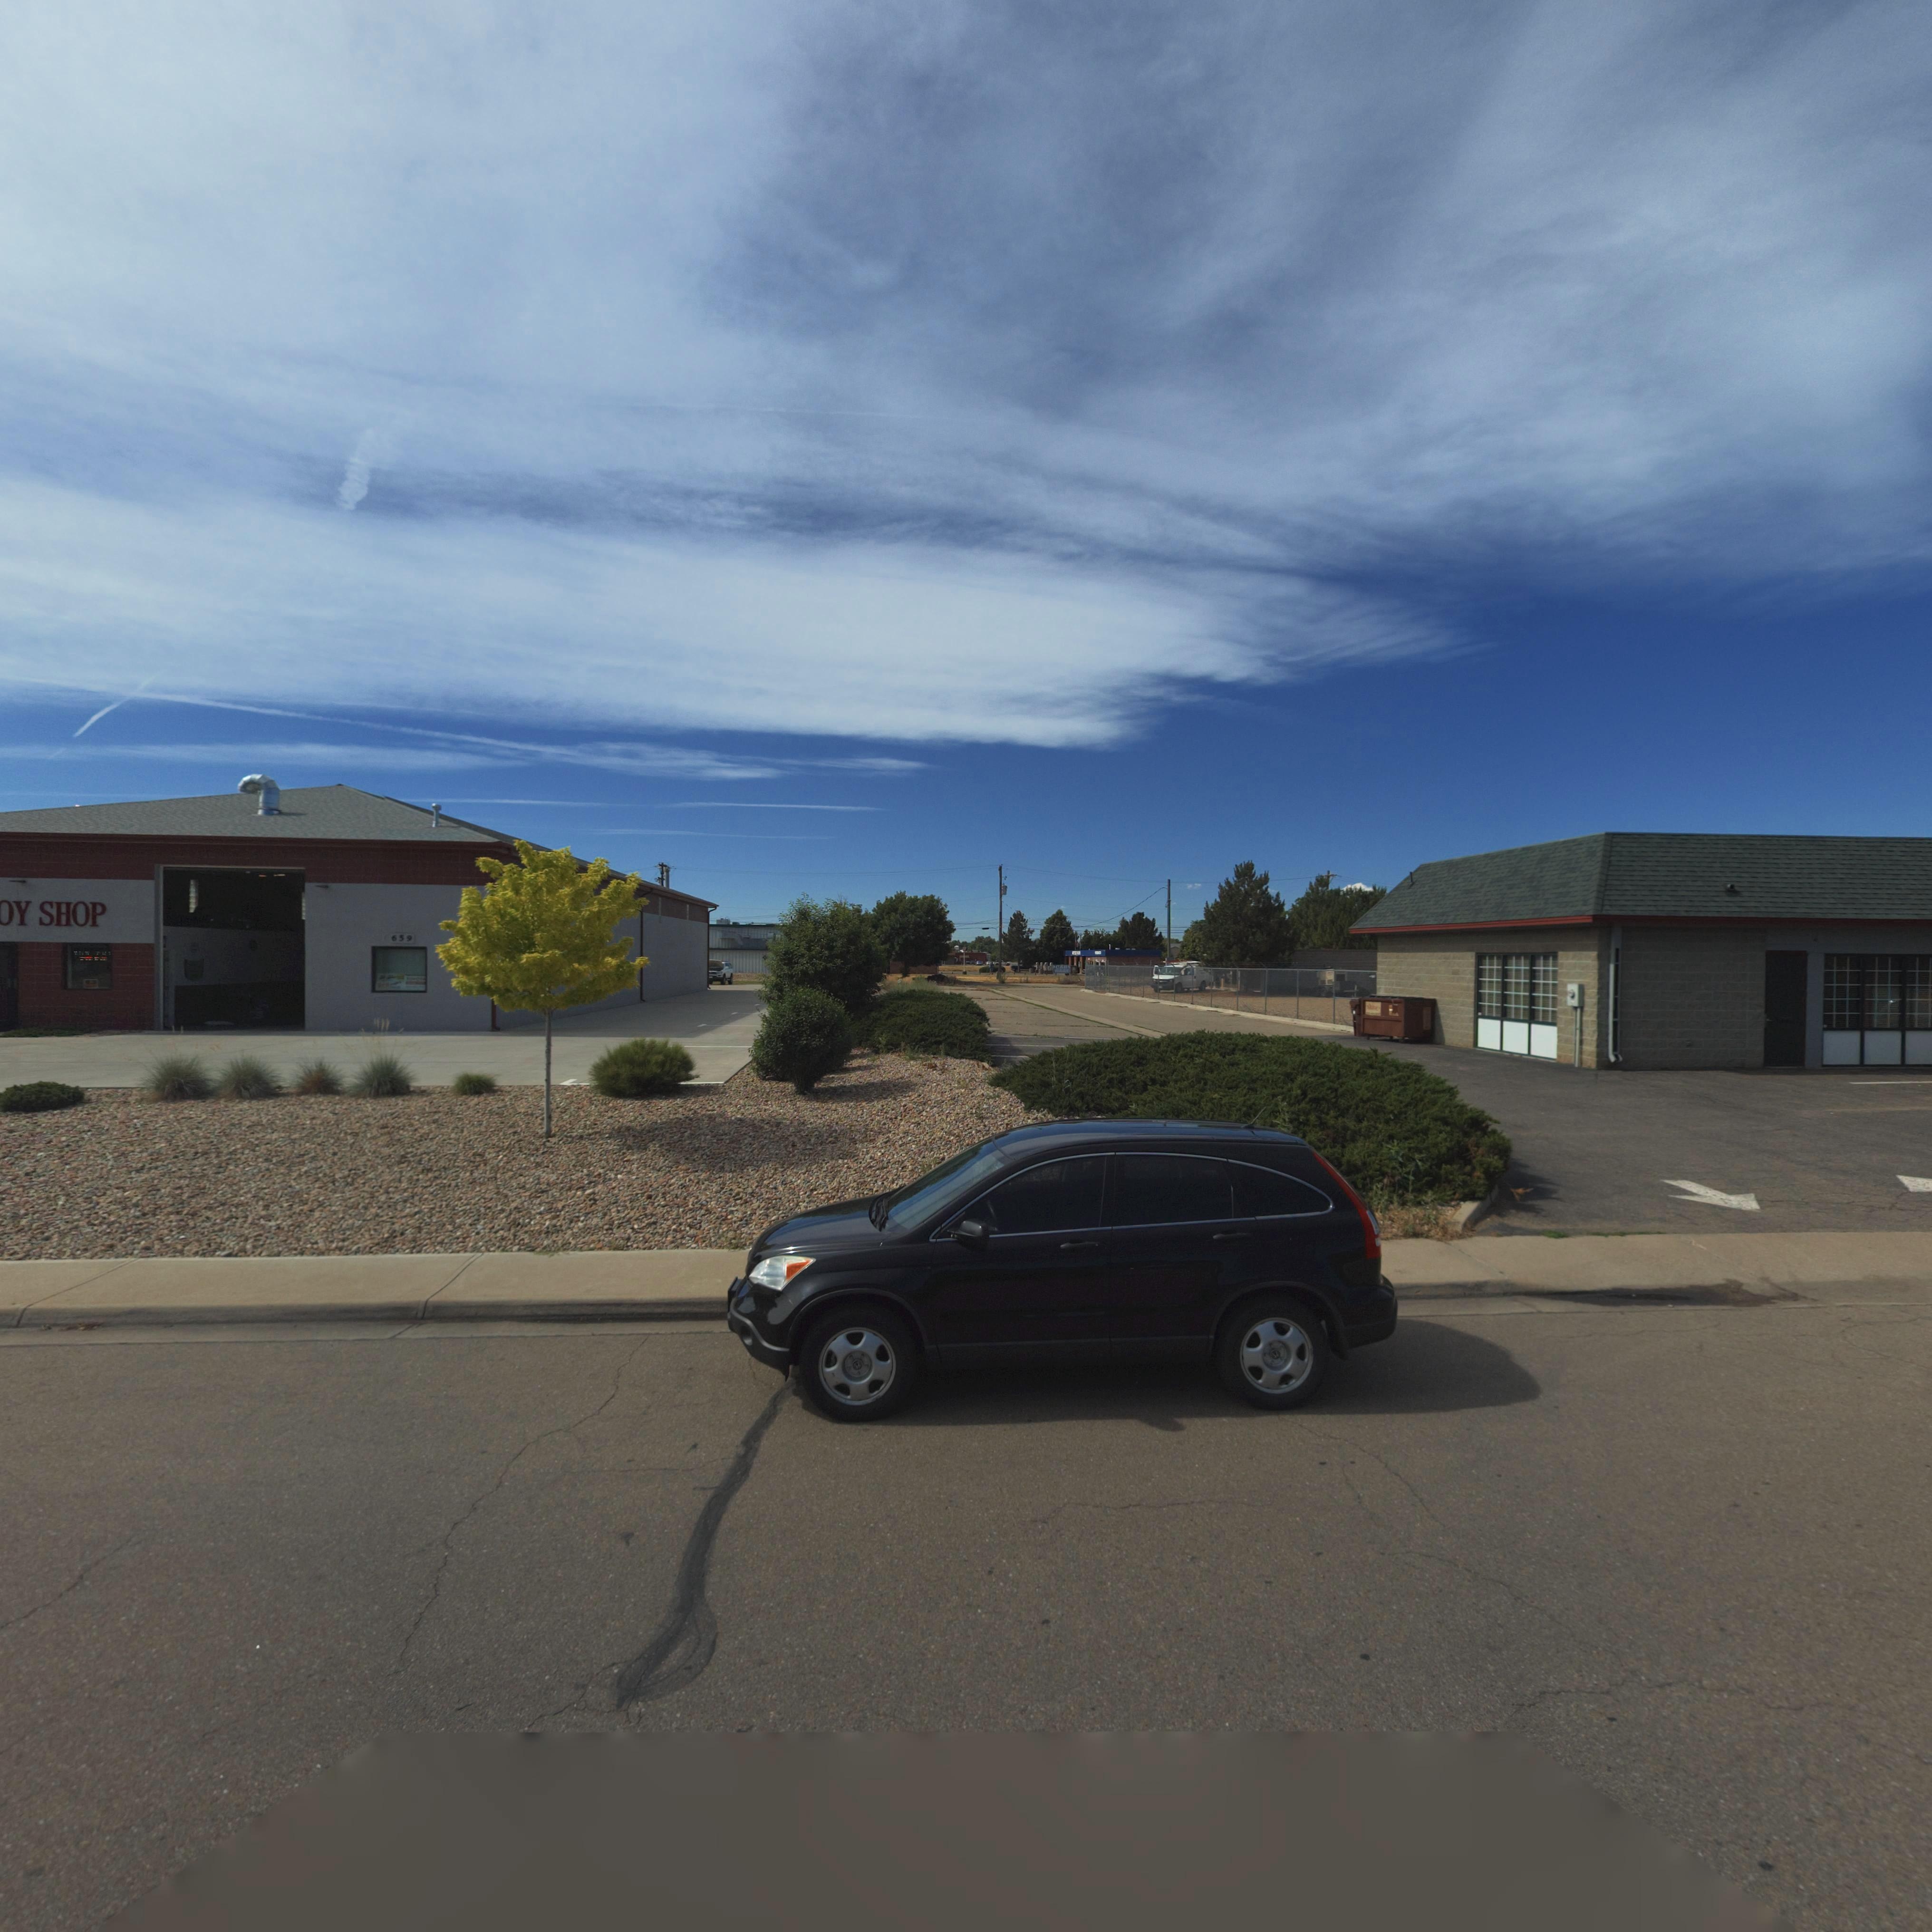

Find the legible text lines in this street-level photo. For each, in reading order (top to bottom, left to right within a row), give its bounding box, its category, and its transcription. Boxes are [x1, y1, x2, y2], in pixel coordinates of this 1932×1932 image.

[12, 900, 106, 927] BusinessName: Y SHOP
[391, 934, 412, 941] StreetNumber: 659